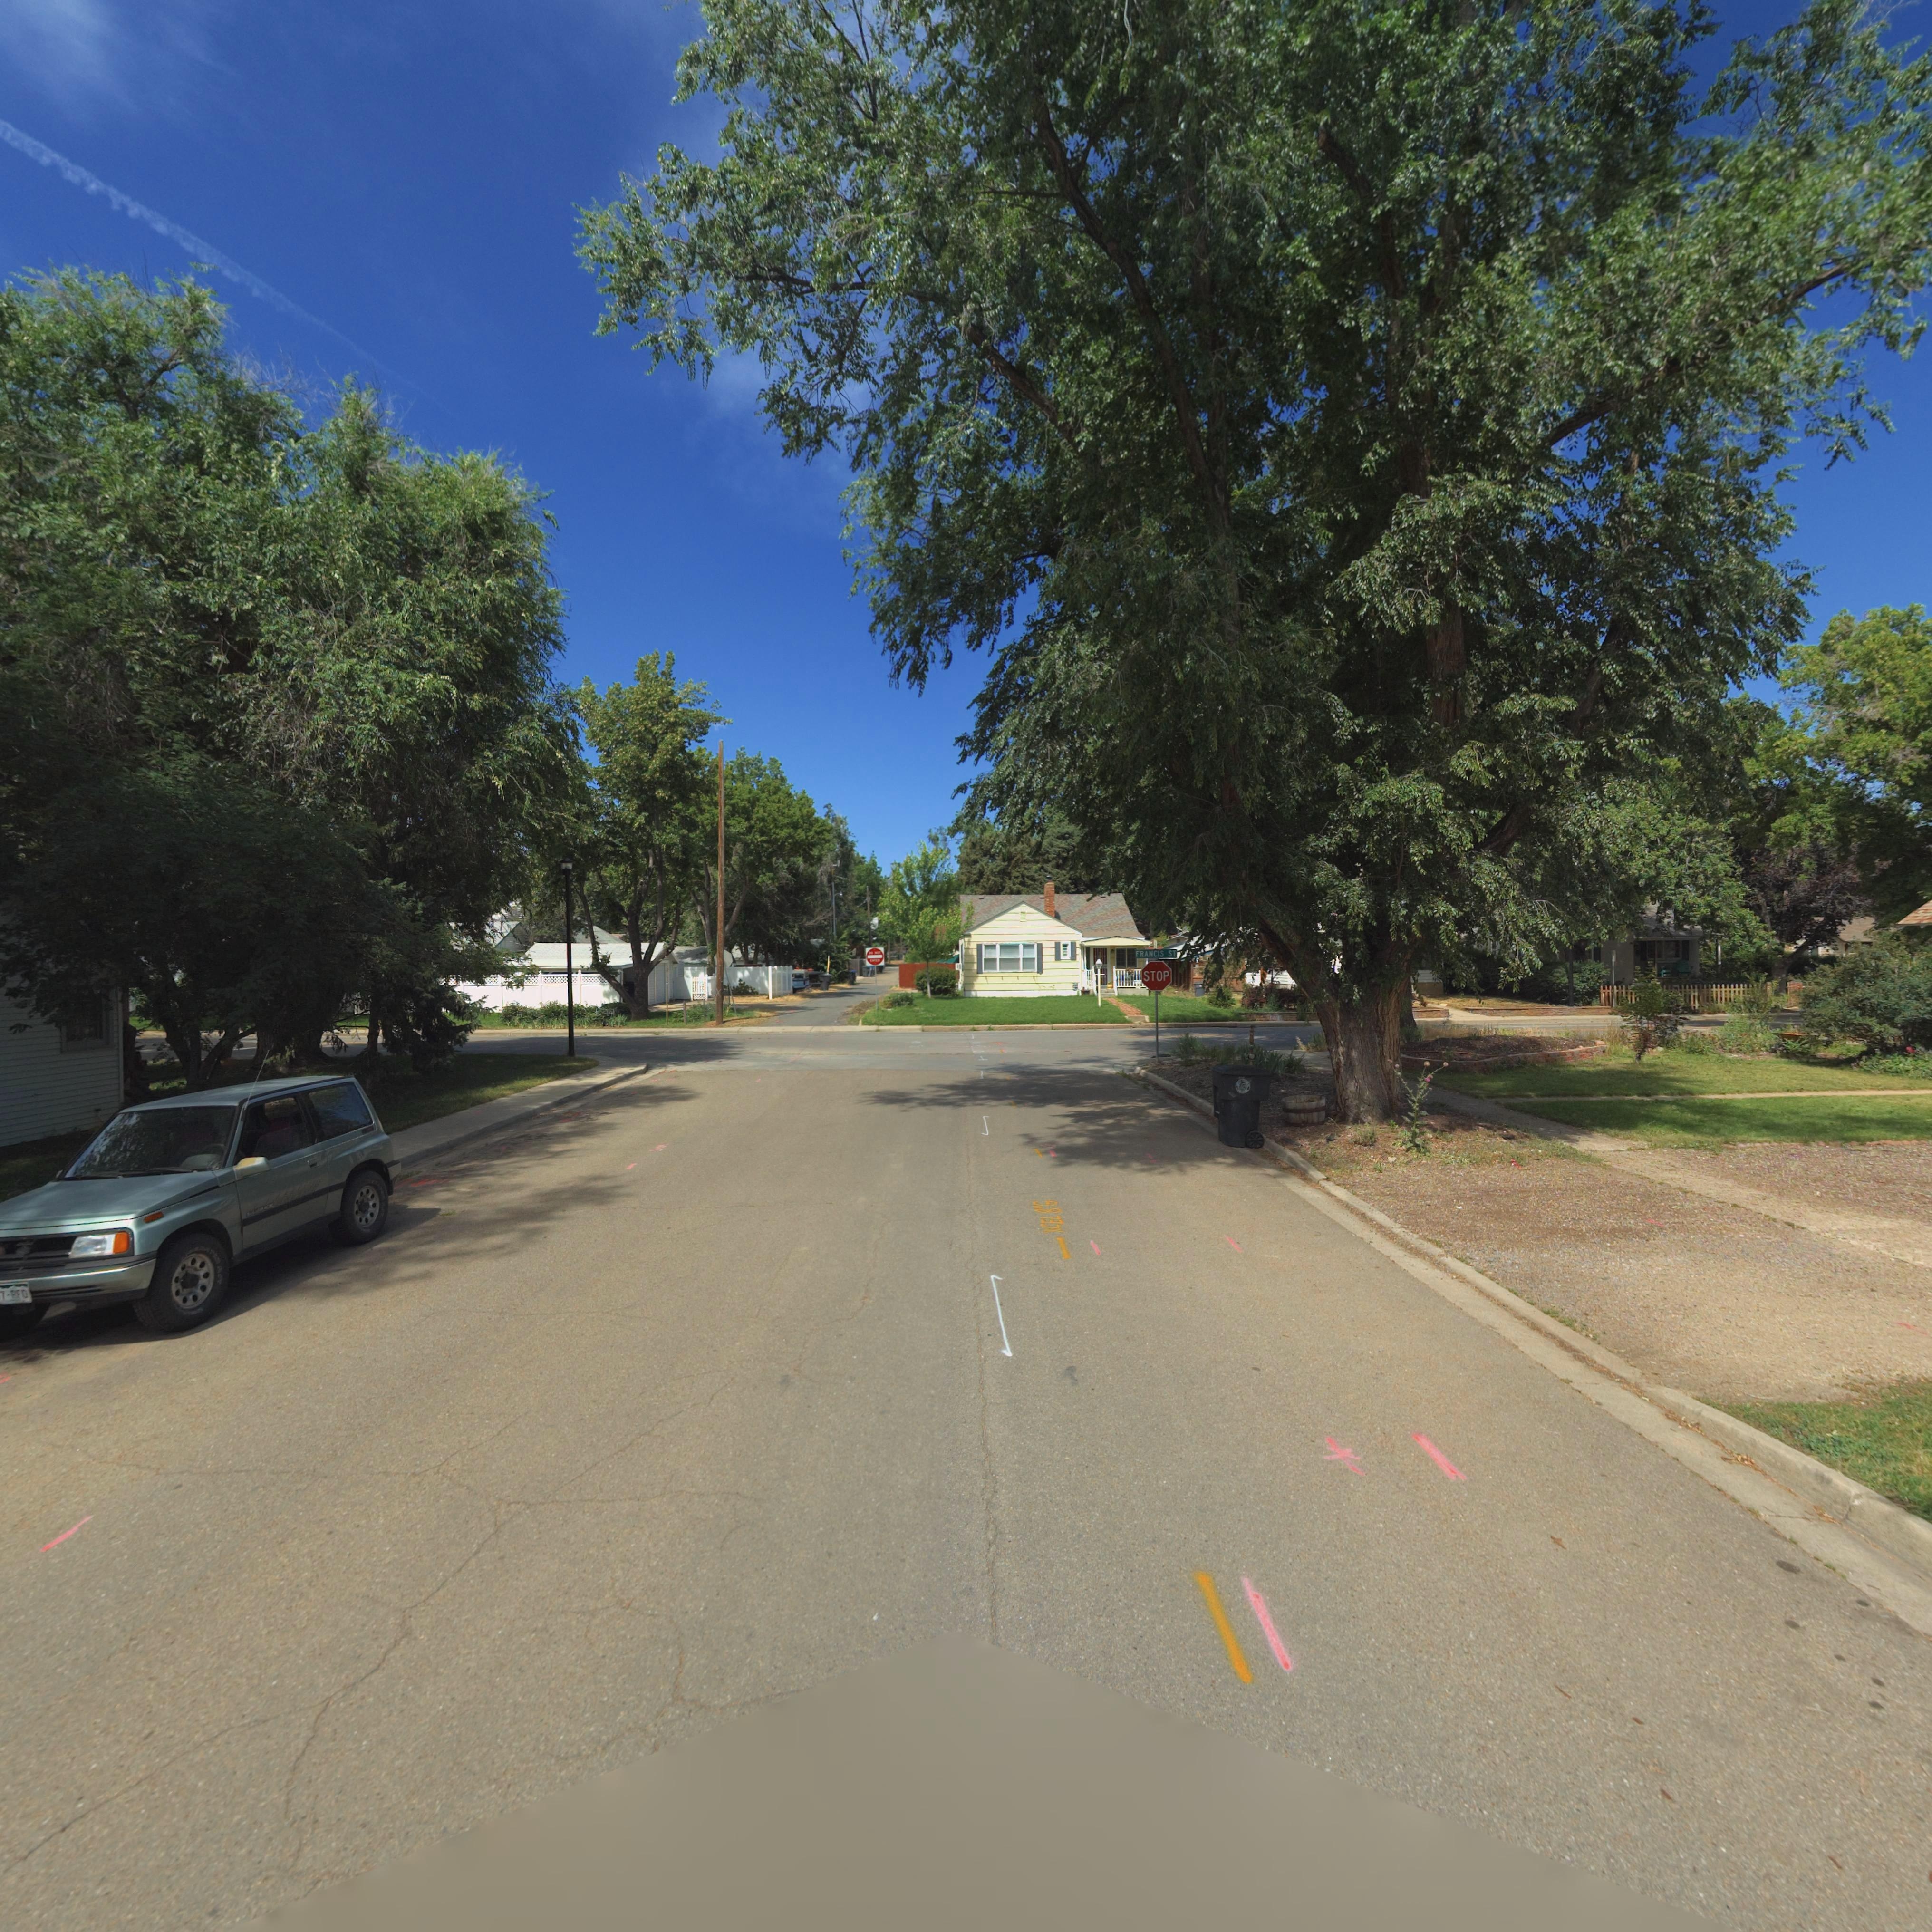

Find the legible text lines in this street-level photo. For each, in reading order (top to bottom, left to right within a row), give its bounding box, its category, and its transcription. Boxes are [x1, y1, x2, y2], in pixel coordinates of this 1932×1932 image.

[1136, 950, 1176, 957] StreetName: FRANCIS ST